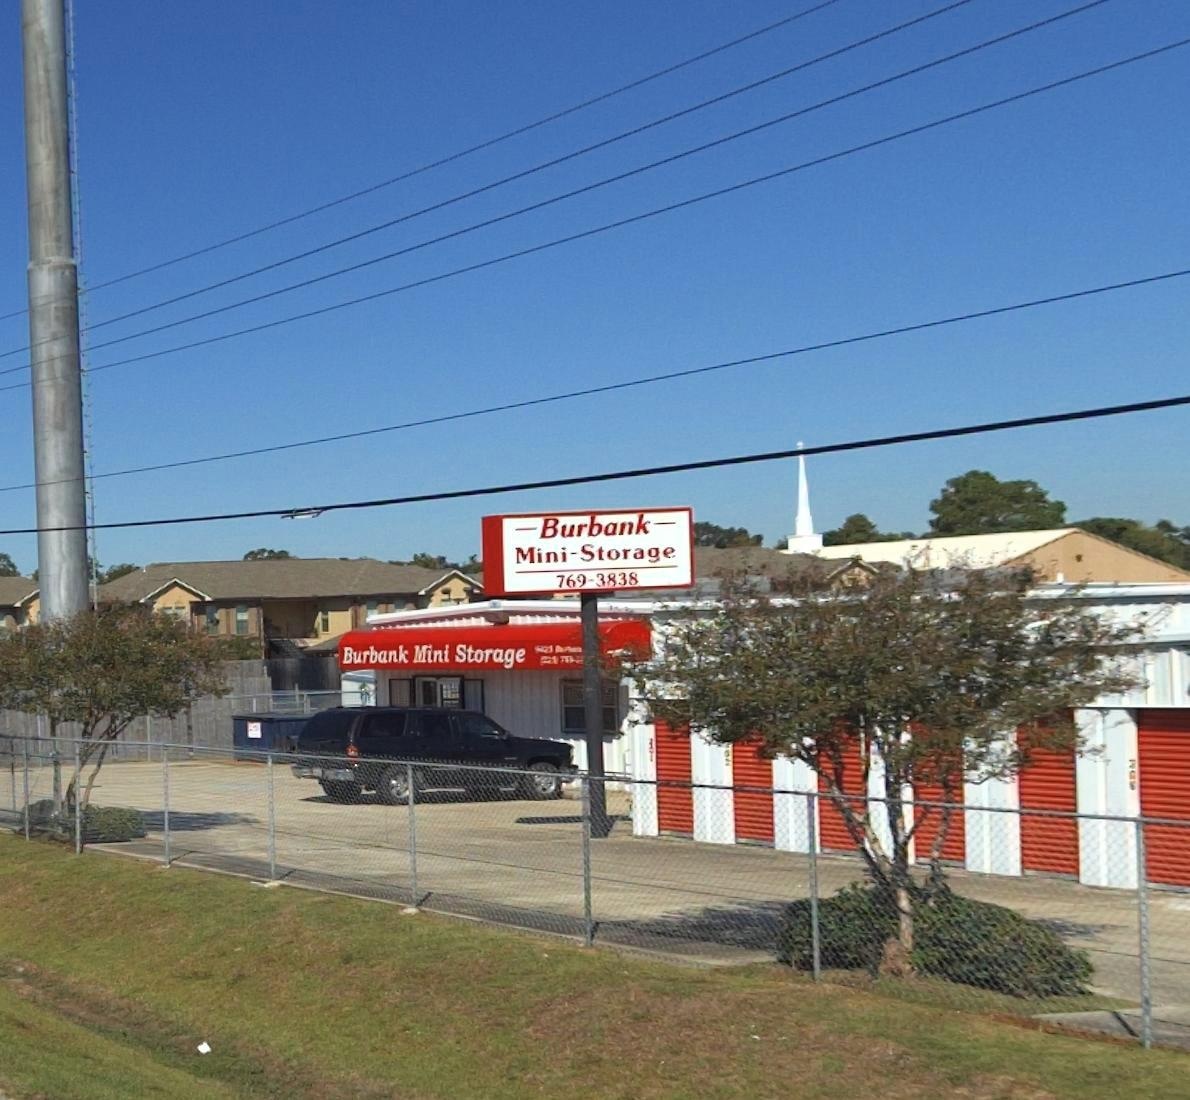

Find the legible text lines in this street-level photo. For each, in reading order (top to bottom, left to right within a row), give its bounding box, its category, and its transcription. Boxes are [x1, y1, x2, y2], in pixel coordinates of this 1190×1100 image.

[538, 512, 652, 540] BusinessName: Burbank
[514, 543, 677, 565] BusinessName: Mini-Storage
[555, 571, 639, 589] None: 769-3838
[341, 643, 527, 670] BusinessName: Burbank Mini Storage